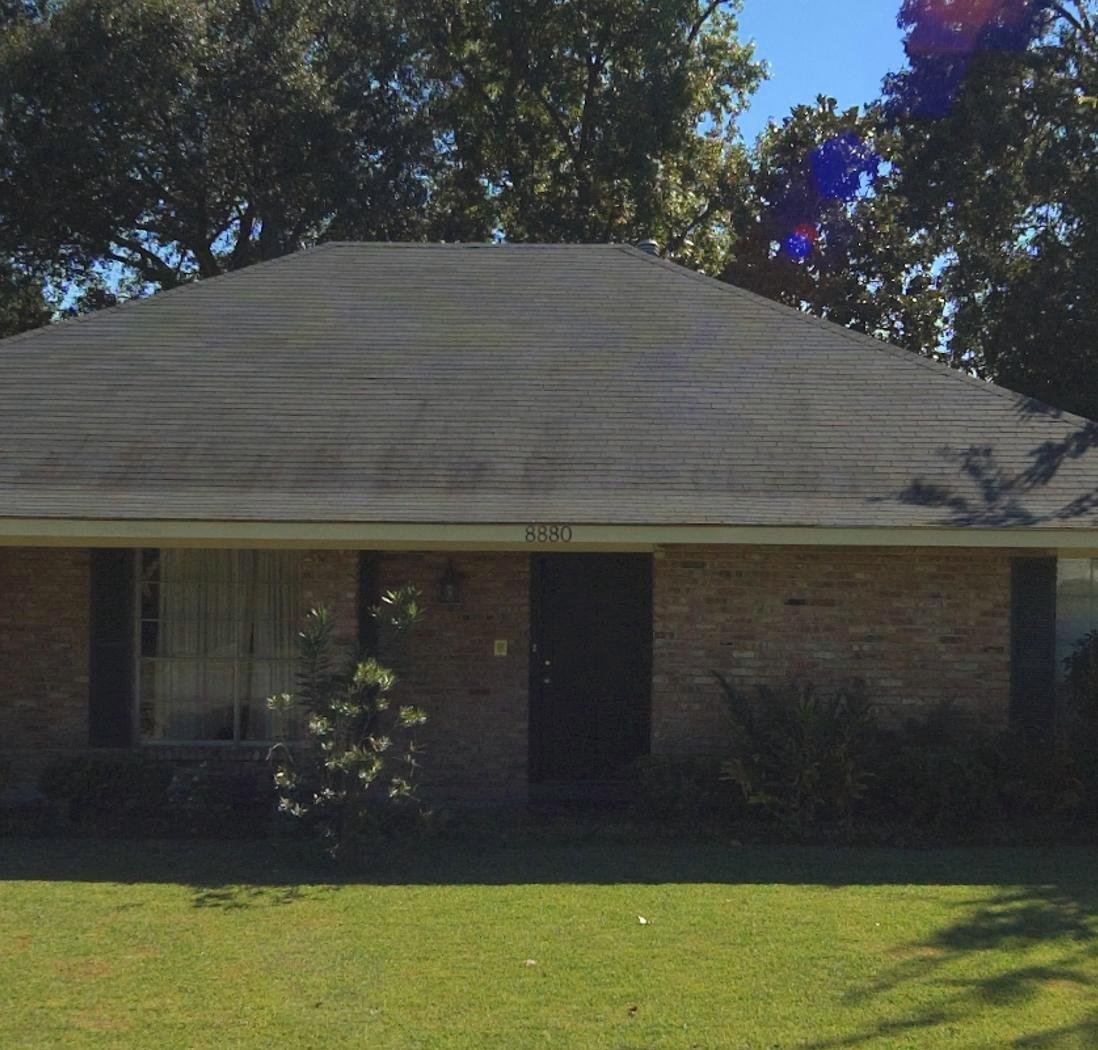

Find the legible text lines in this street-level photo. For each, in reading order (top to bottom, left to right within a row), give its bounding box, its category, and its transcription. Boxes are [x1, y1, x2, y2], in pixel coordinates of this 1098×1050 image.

[524, 524, 574, 544] StreetNumber: 8880